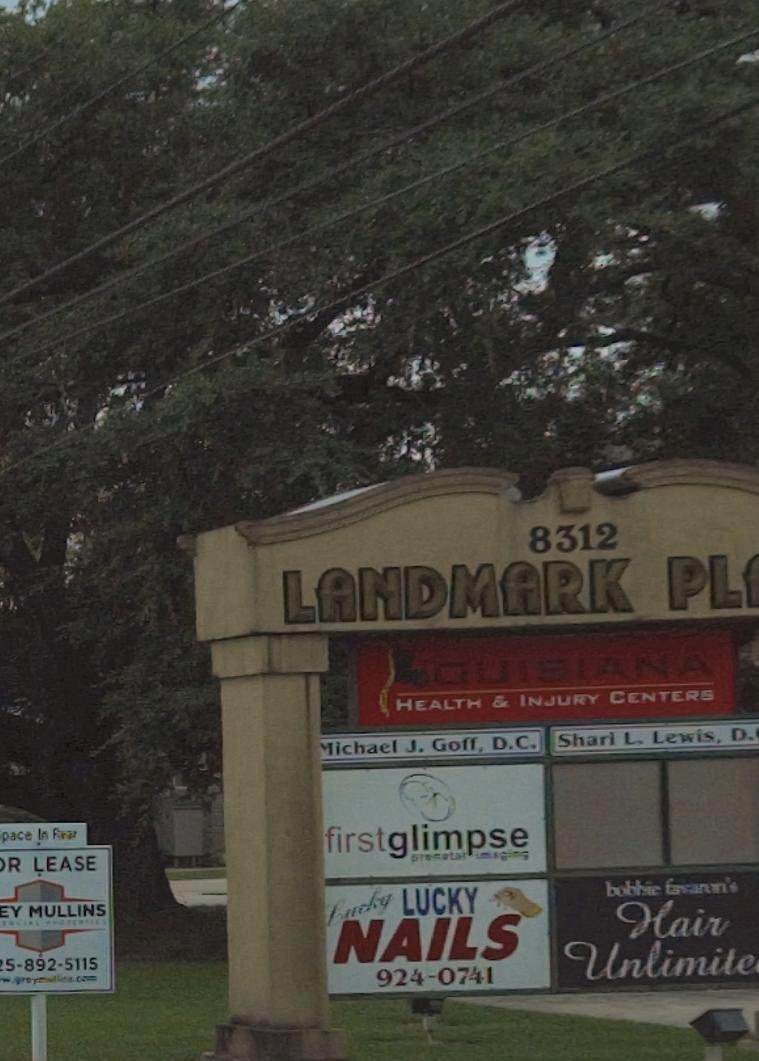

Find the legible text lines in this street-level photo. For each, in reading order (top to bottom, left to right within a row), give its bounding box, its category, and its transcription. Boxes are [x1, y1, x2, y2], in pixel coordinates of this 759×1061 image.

[527, 521, 620, 554] StreetNumber: 8312
[281, 551, 745, 627] None: LANDMARK PL
[391, 646, 715, 687] BusinessName: LOUISIANA
[395, 688, 716, 713] None: HEALTH & INJURY CENTERS
[318, 734, 537, 757] None: Michael J. Goff, D.C.
[556, 726, 756, 748] None: Shari L, Lewis, D,
[1, 827, 78, 845] None: pace In Rear
[324, 822, 532, 861] BusinessName: firstglimpse
[8, 855, 96, 872] None: R LEASE
[413, 850, 530, 862] None: prenatal imaging
[0, 904, 106, 917] None: EY MULLINS
[326, 888, 394, 929] None: Lucky
[401, 885, 482, 917] BusinessName: LUCKY
[604, 879, 661, 898] None: bobbie
[615, 898, 734, 940] BusinessName: Hair
[333, 913, 523, 965] BusinessName: NAILS
[3, 956, 98, 971] None: 5-892-5115
[374, 964, 494, 988] None: 924-0741
[562, 938, 757, 981] BusinessName: Unlimite